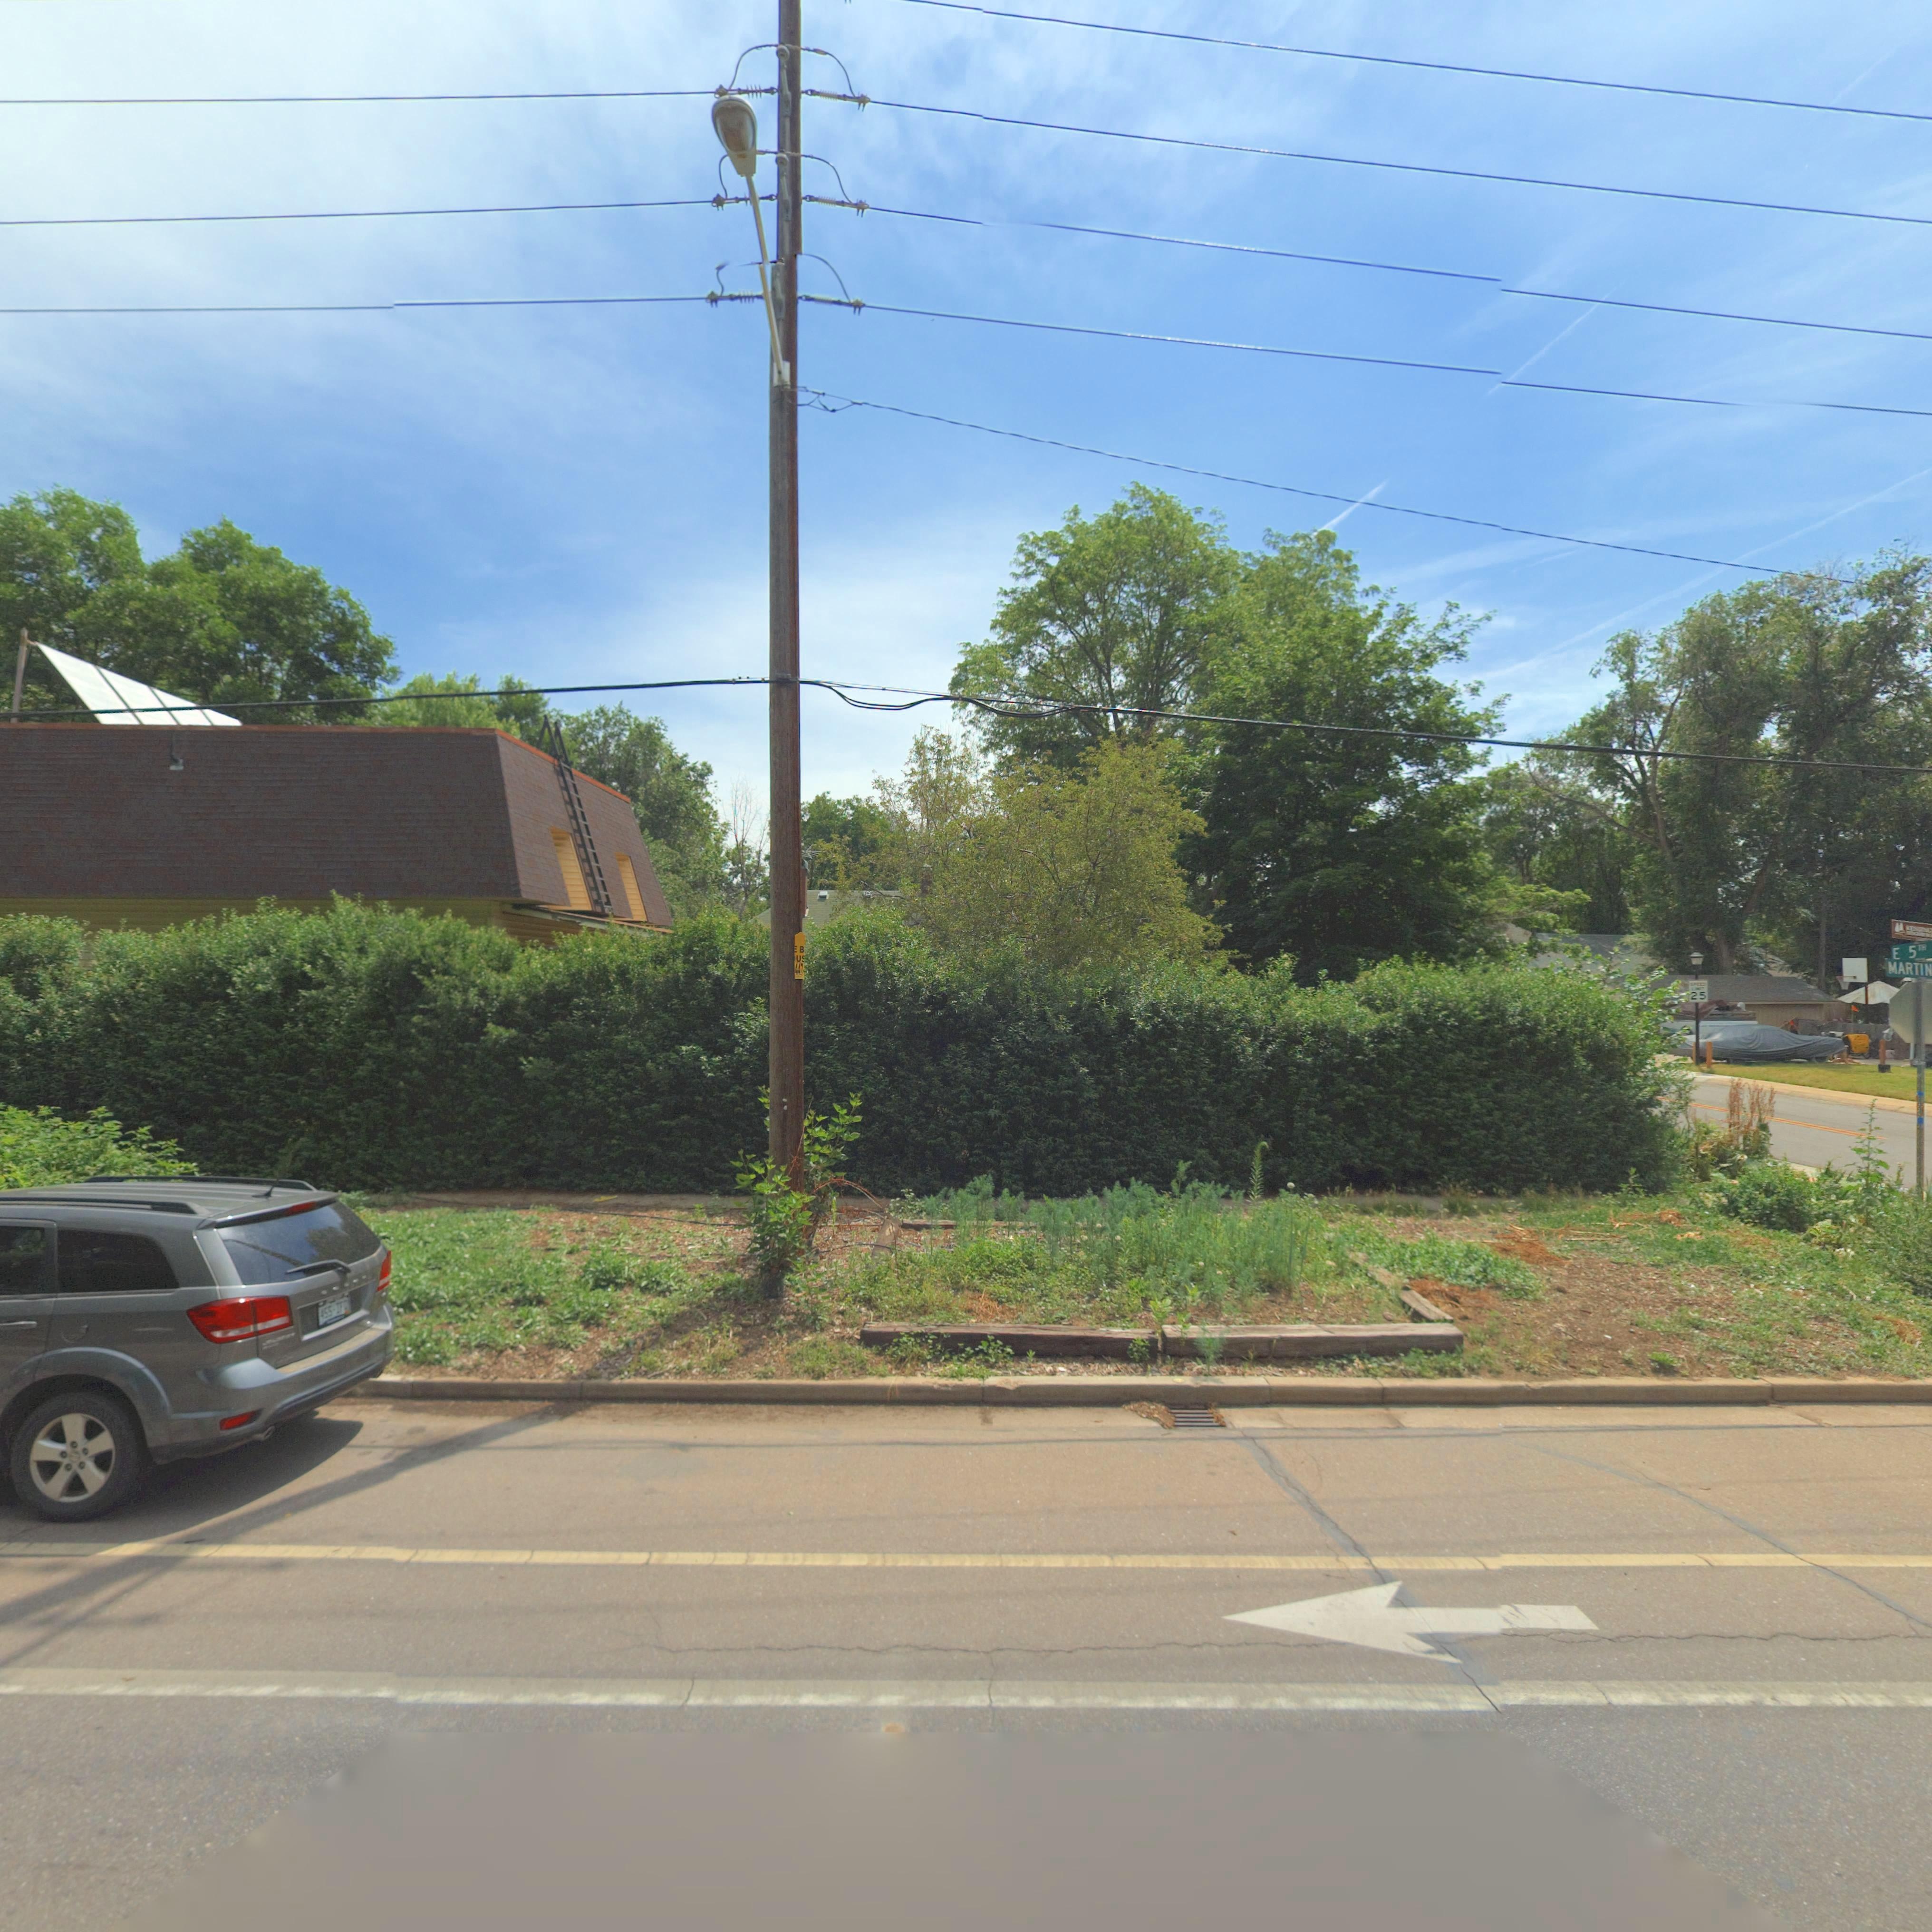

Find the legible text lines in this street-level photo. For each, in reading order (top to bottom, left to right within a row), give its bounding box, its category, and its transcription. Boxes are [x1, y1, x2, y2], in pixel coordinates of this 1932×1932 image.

[1892, 943, 1927, 960] StreetName: E 5TH
[1887, 961, 1932, 976] StreetName: MARTIN